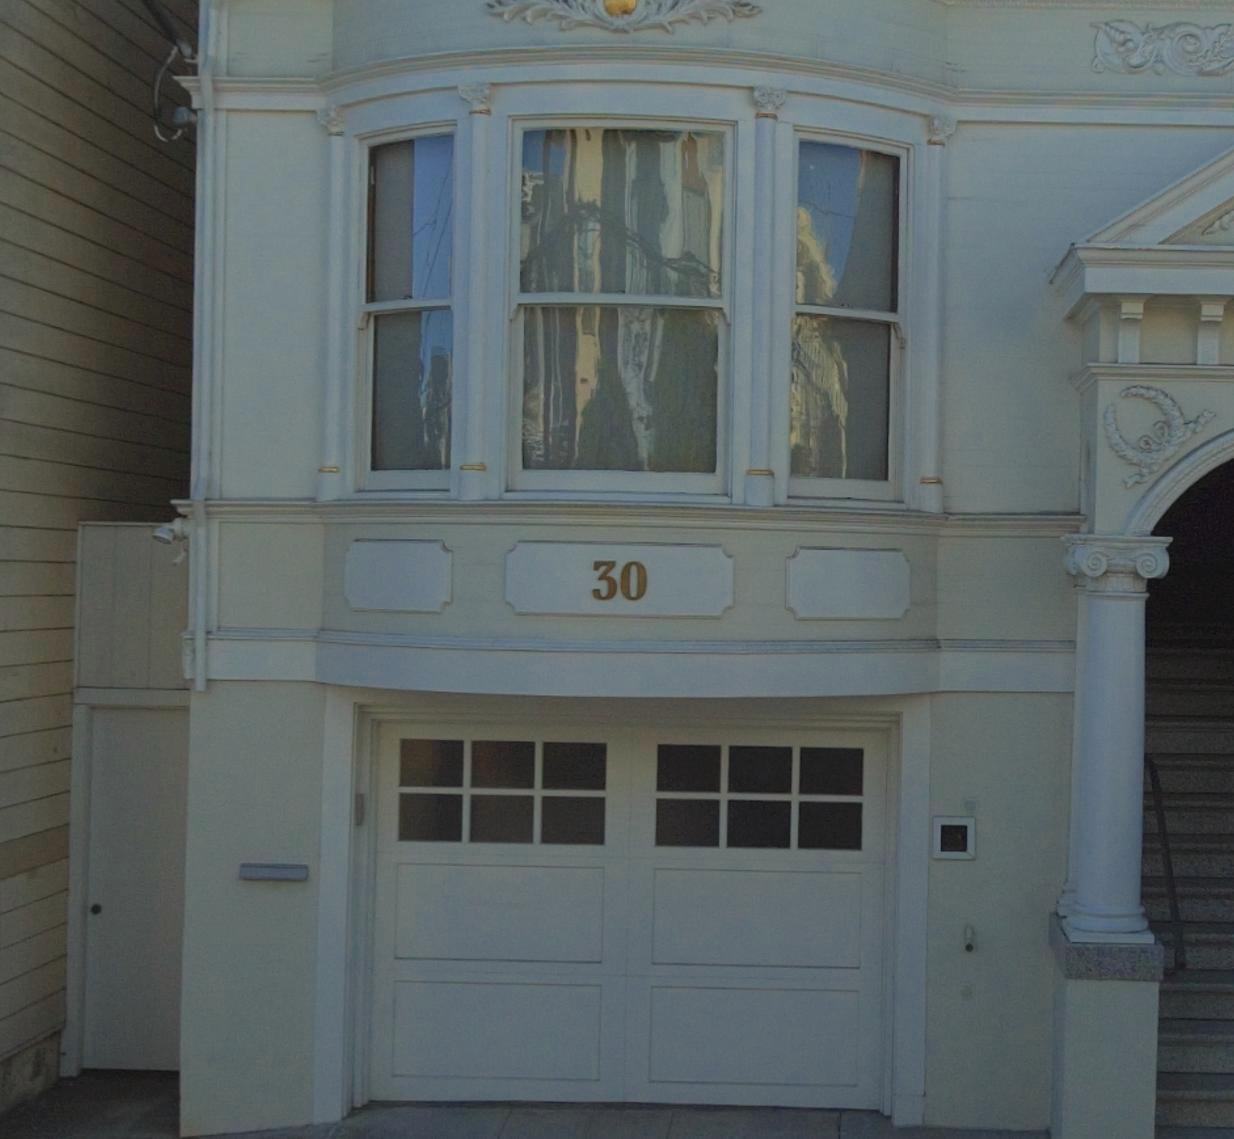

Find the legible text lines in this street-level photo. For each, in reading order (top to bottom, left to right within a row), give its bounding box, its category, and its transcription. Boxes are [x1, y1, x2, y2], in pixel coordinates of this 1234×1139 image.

[590, 558, 650, 603] StreetNumber: 30